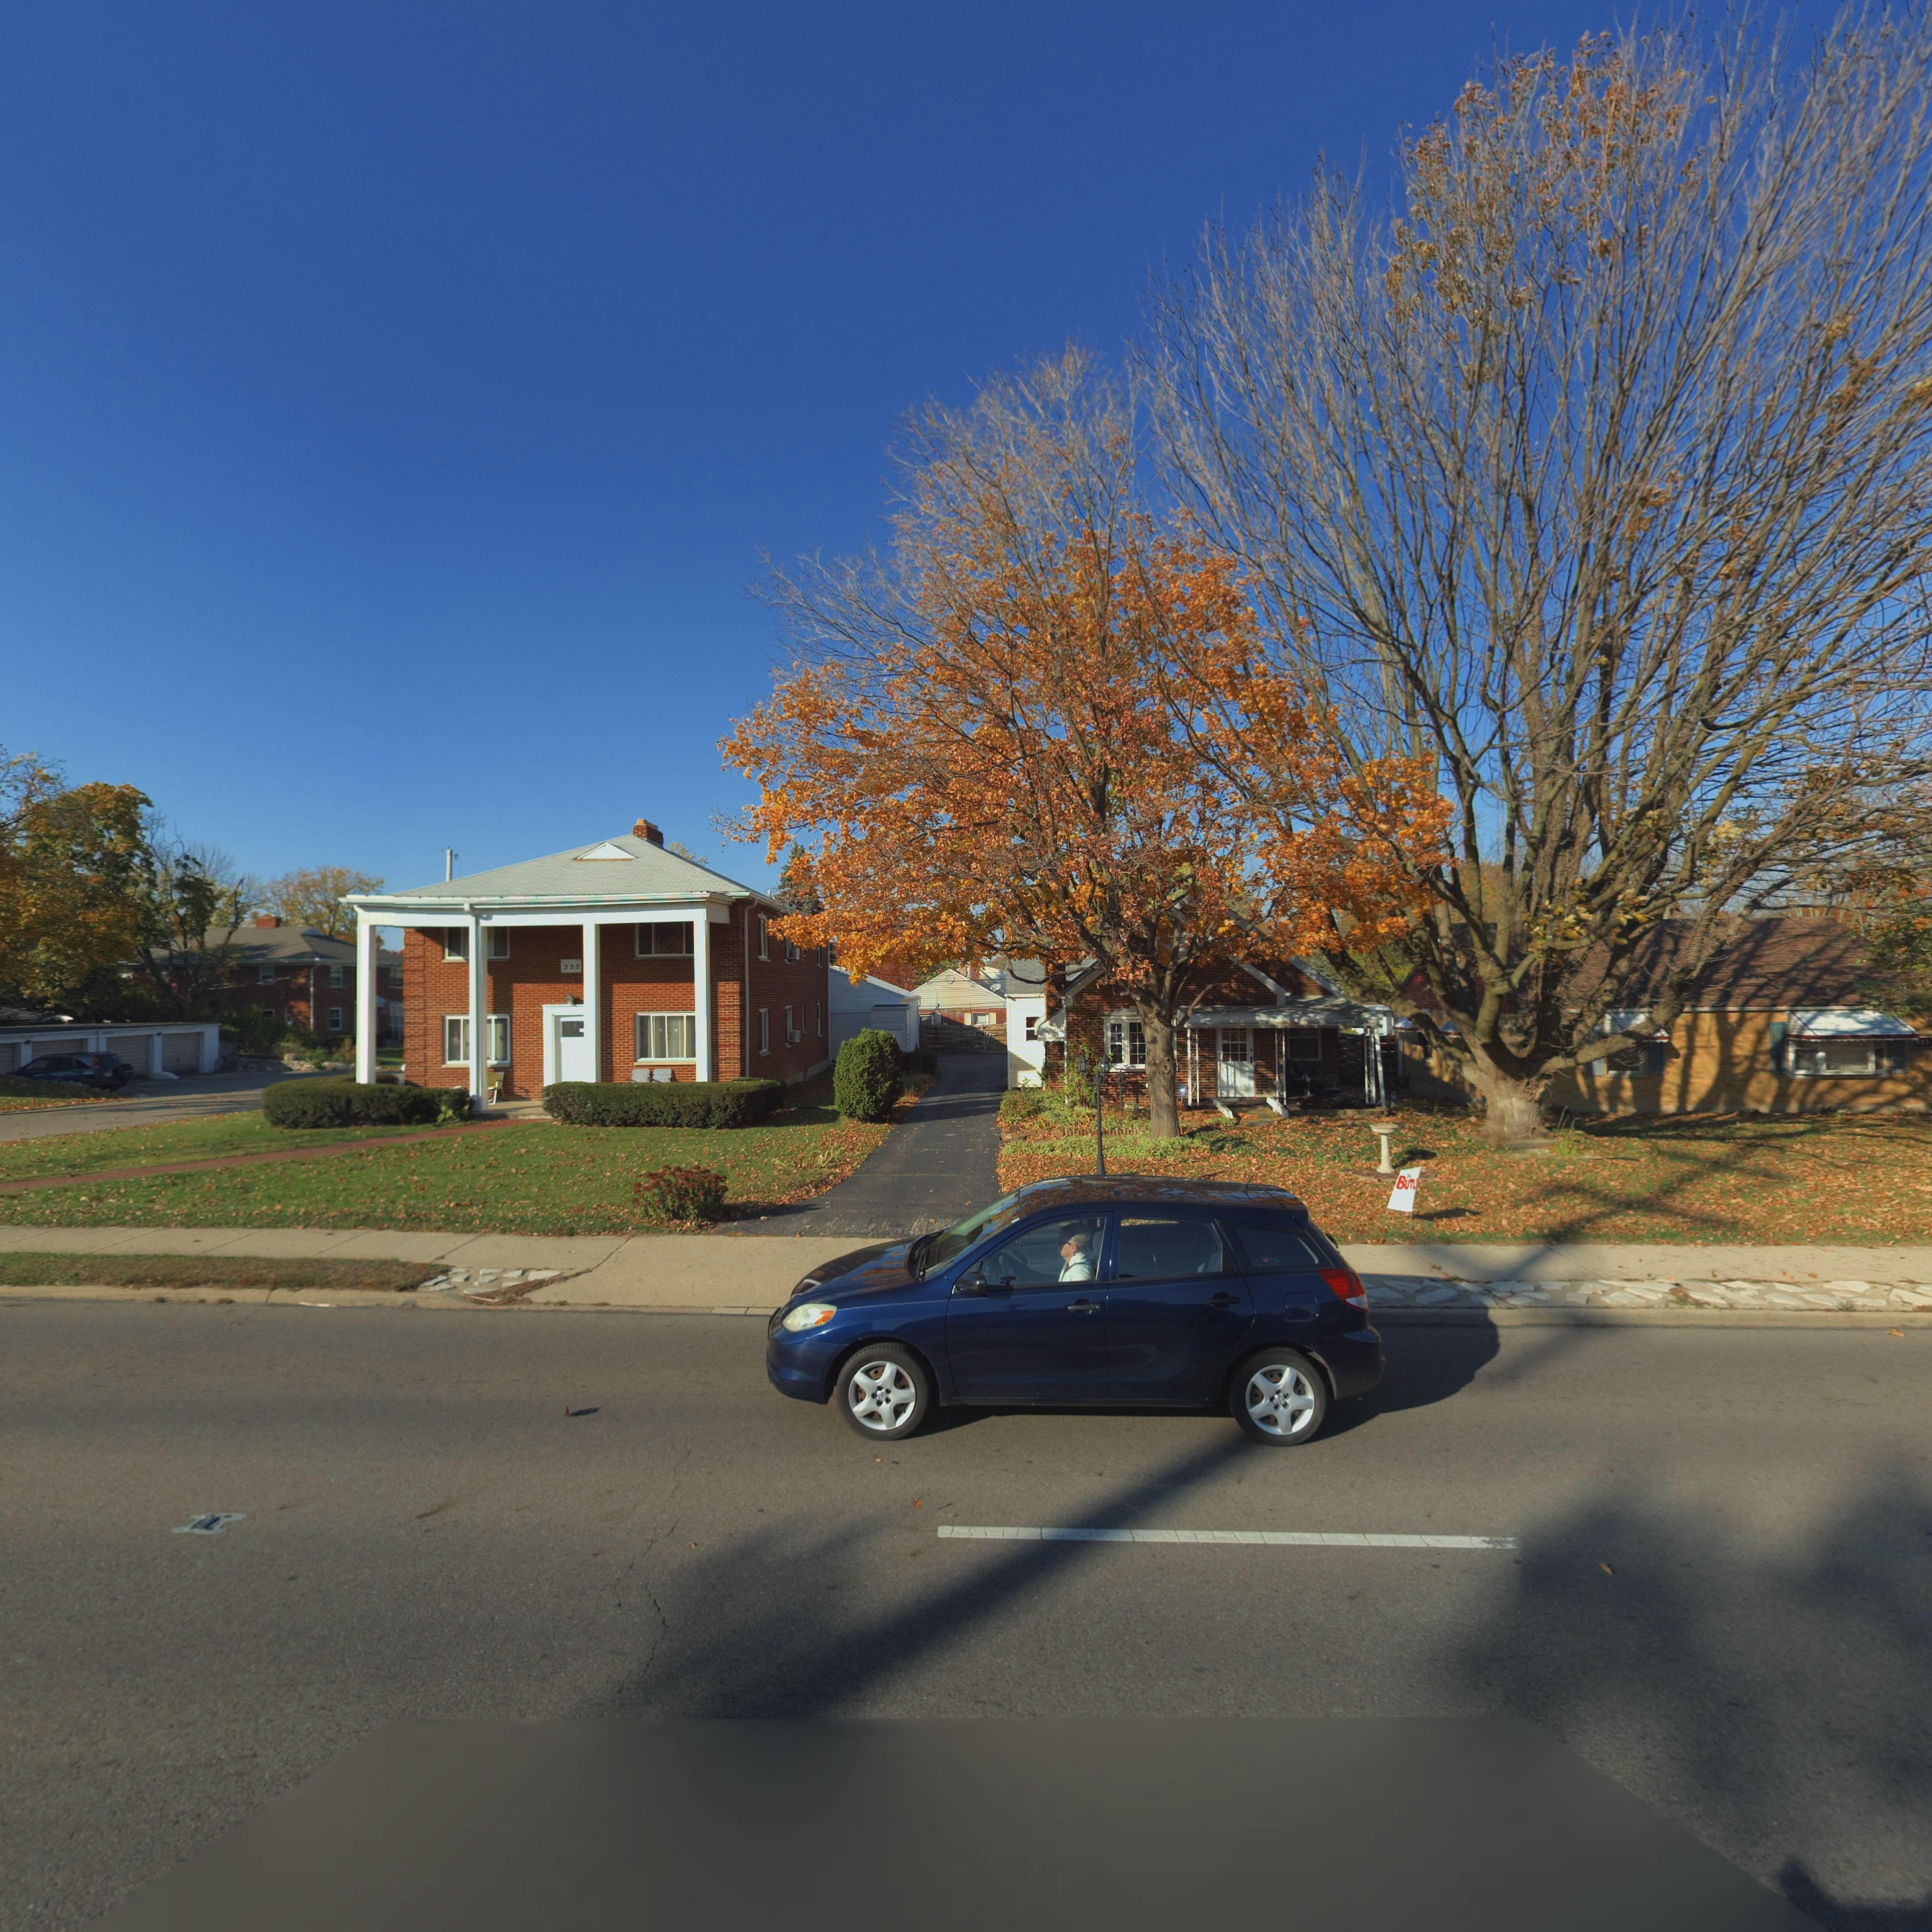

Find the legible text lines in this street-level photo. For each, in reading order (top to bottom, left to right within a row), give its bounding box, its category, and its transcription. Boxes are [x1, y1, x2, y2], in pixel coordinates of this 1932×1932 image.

[563, 964, 579, 969] StreetNumber: 555